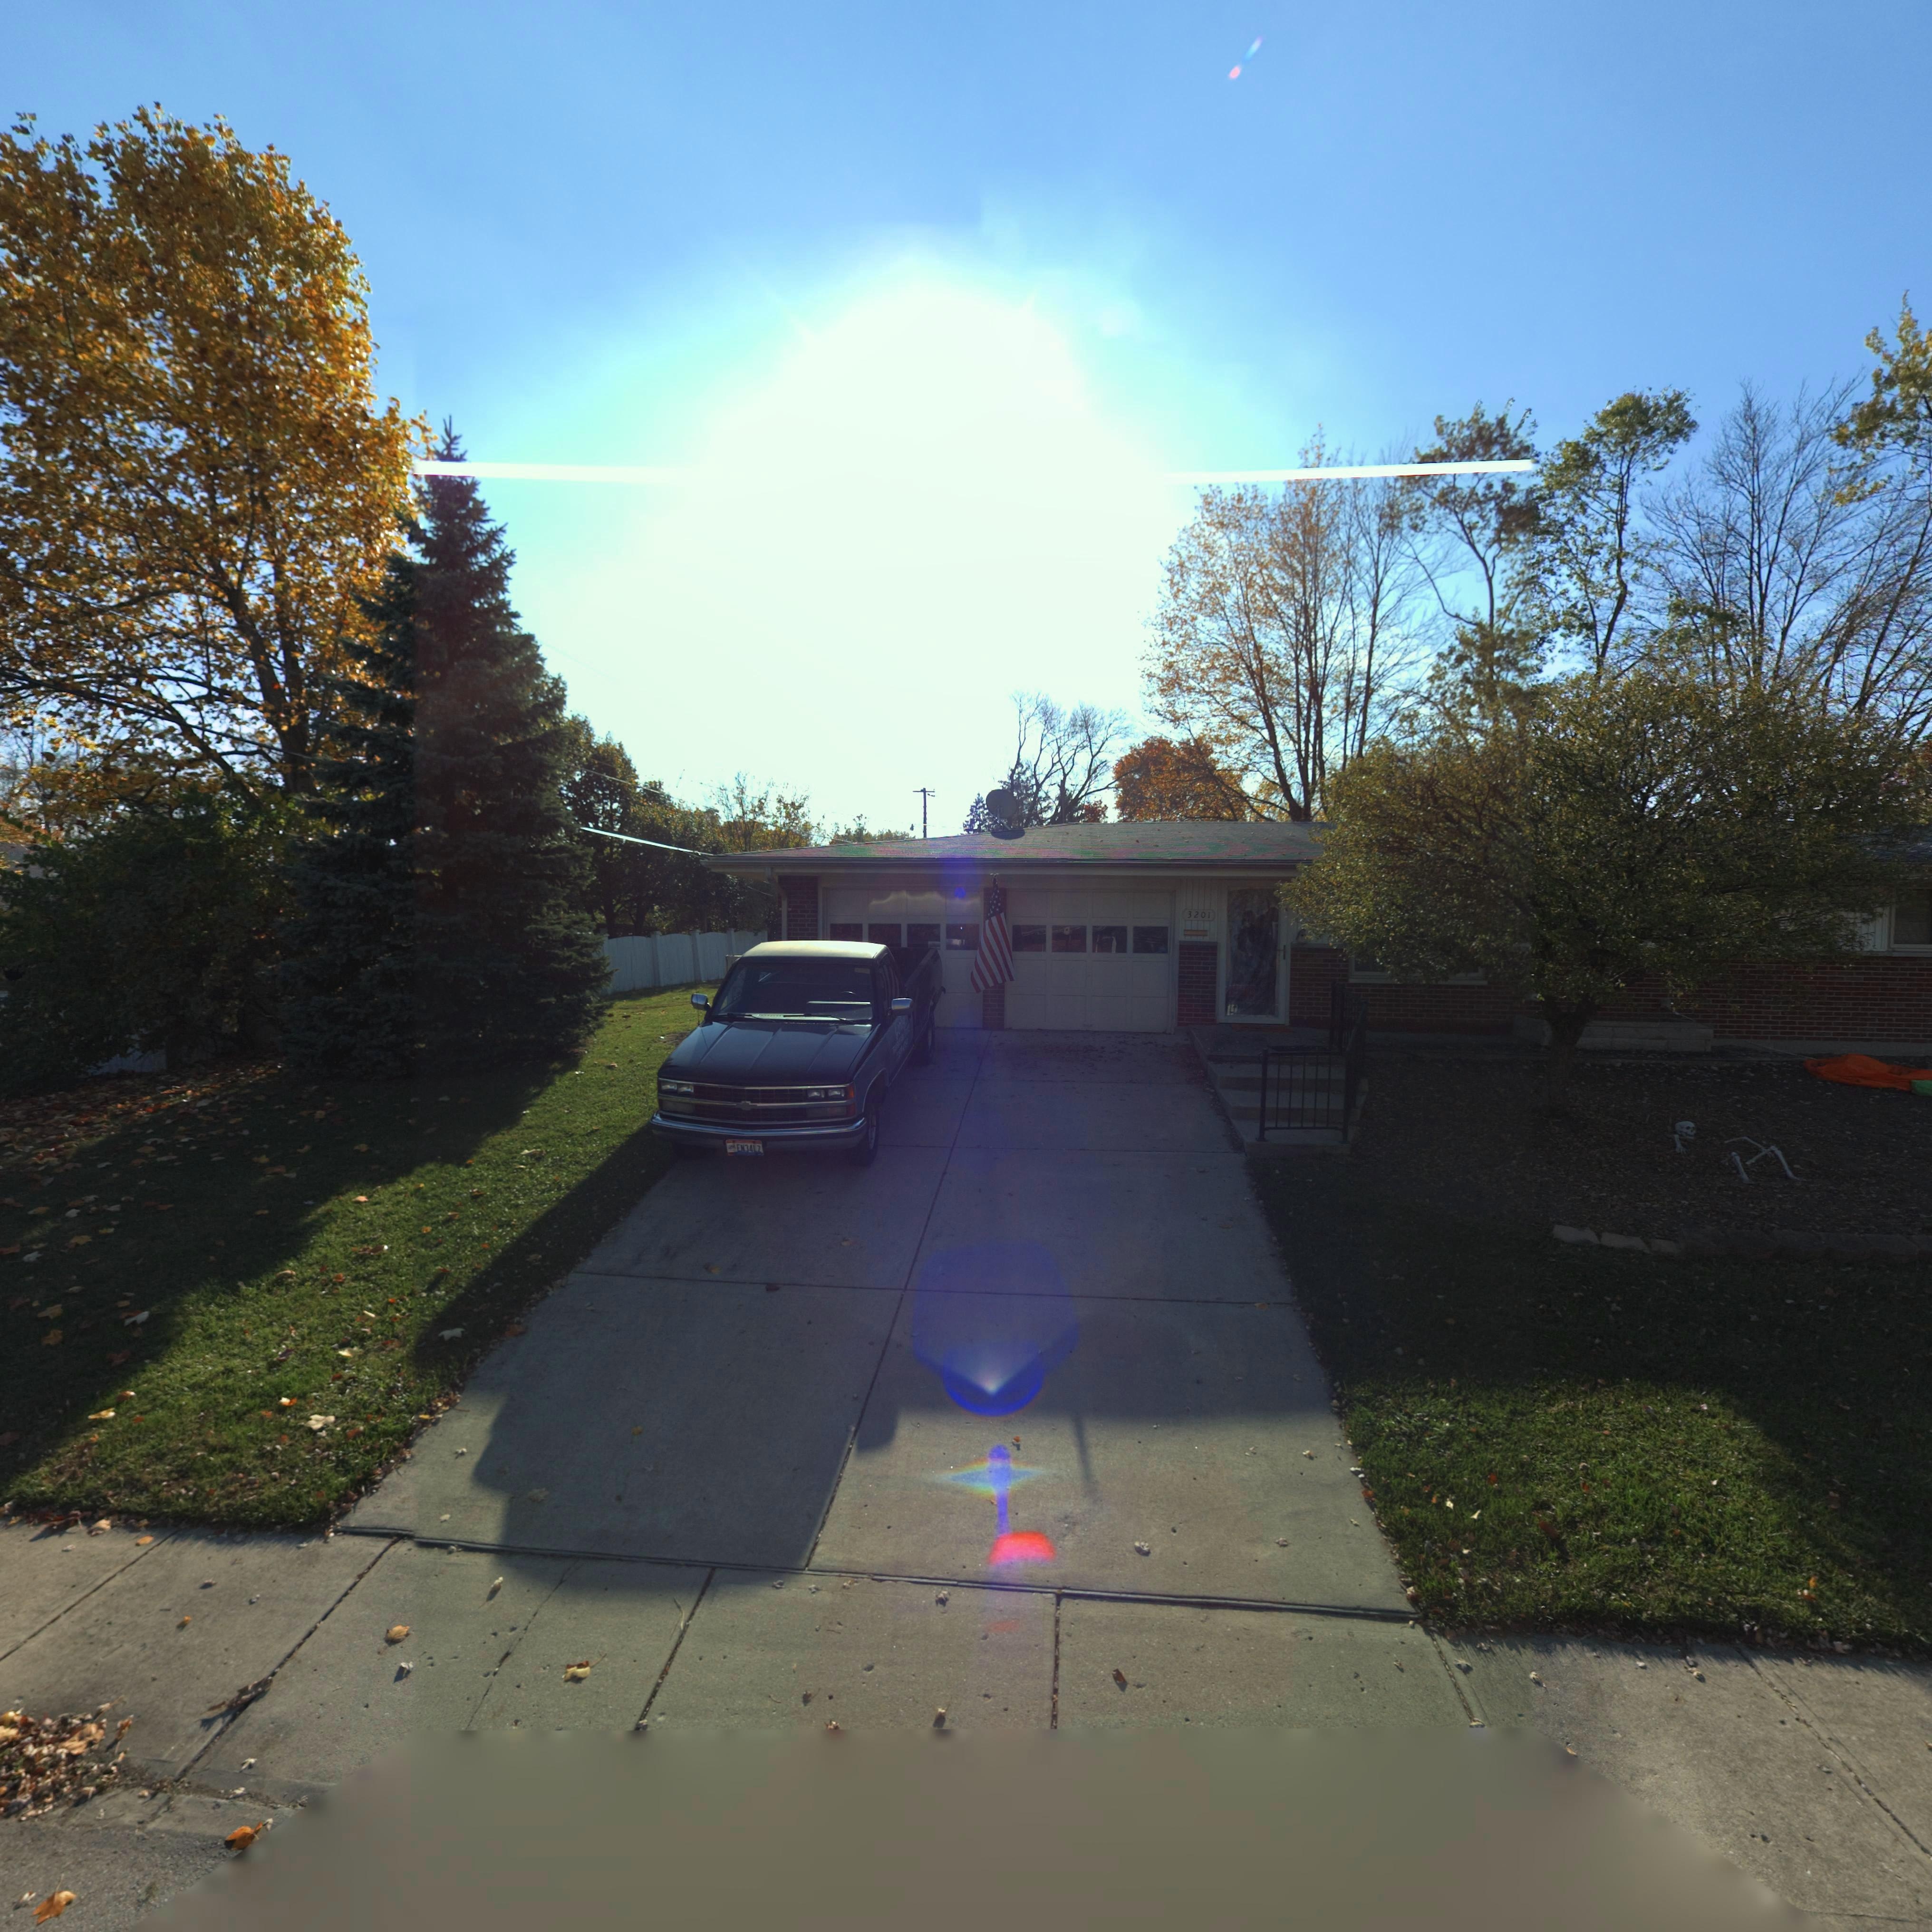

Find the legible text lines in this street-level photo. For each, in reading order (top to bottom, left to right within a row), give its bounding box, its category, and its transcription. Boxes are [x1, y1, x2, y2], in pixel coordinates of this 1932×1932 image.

[1187, 910, 1211, 919] StreetNumber: 3201